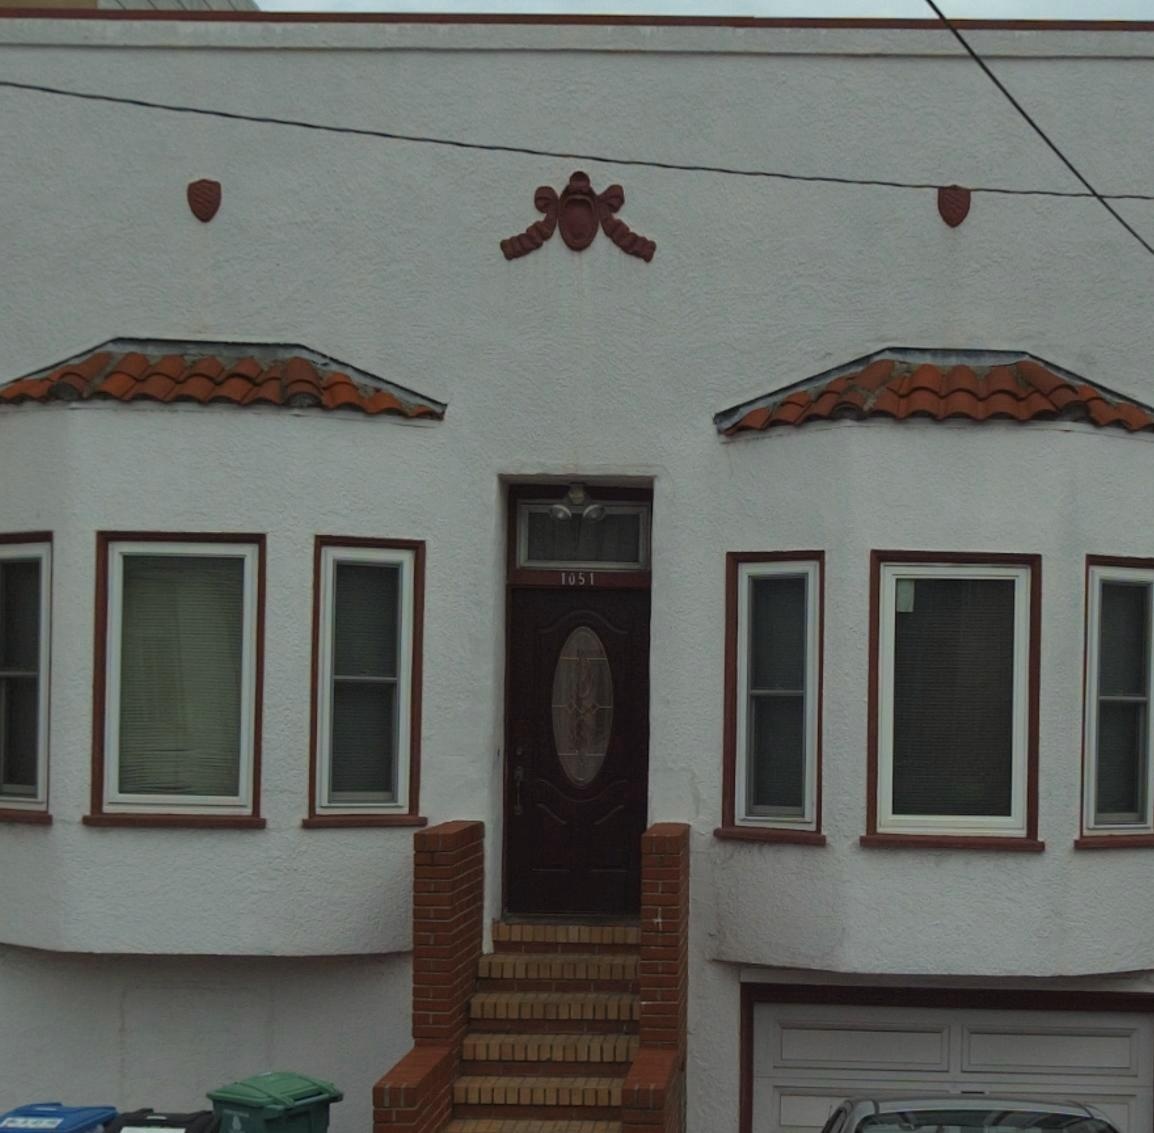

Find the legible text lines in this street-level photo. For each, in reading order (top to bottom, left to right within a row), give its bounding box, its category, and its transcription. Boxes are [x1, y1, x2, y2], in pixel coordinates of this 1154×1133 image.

[559, 571, 596, 587] StreetNumber: 1051